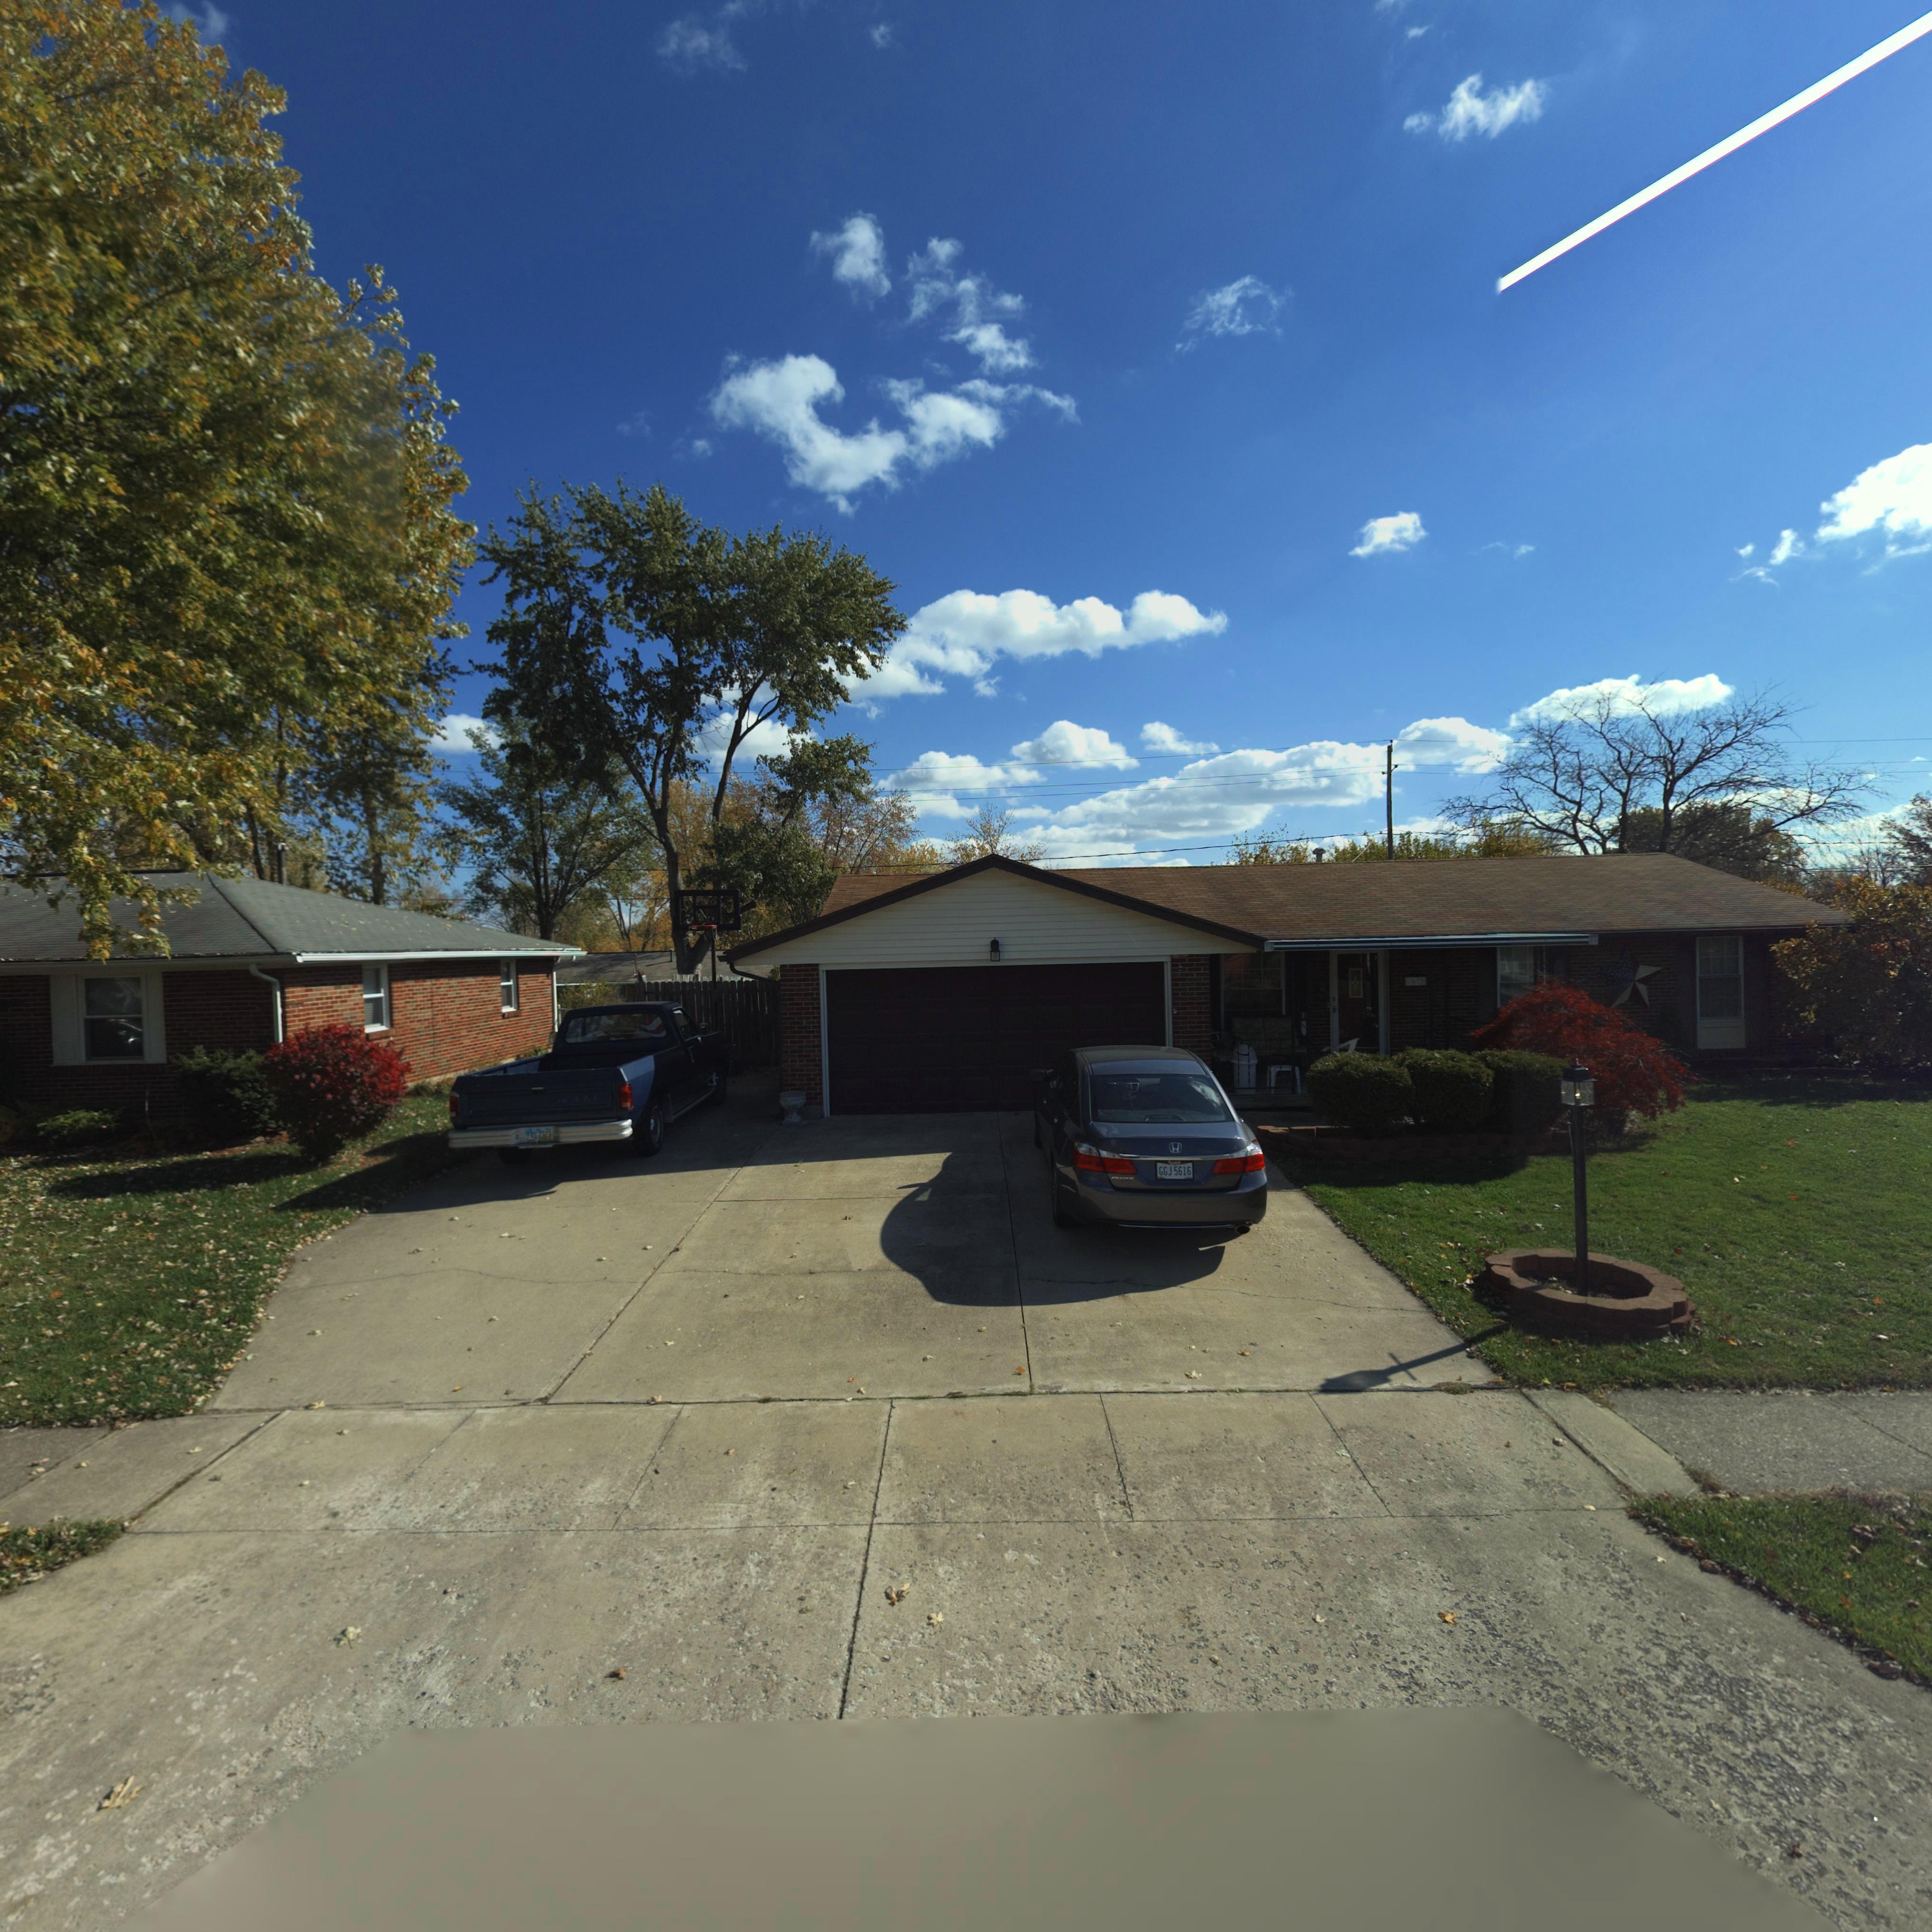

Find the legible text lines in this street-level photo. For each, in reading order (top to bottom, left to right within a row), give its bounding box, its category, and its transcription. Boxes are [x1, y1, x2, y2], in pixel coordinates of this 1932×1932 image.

[1407, 977, 1425, 986] StreetNumber: 767*